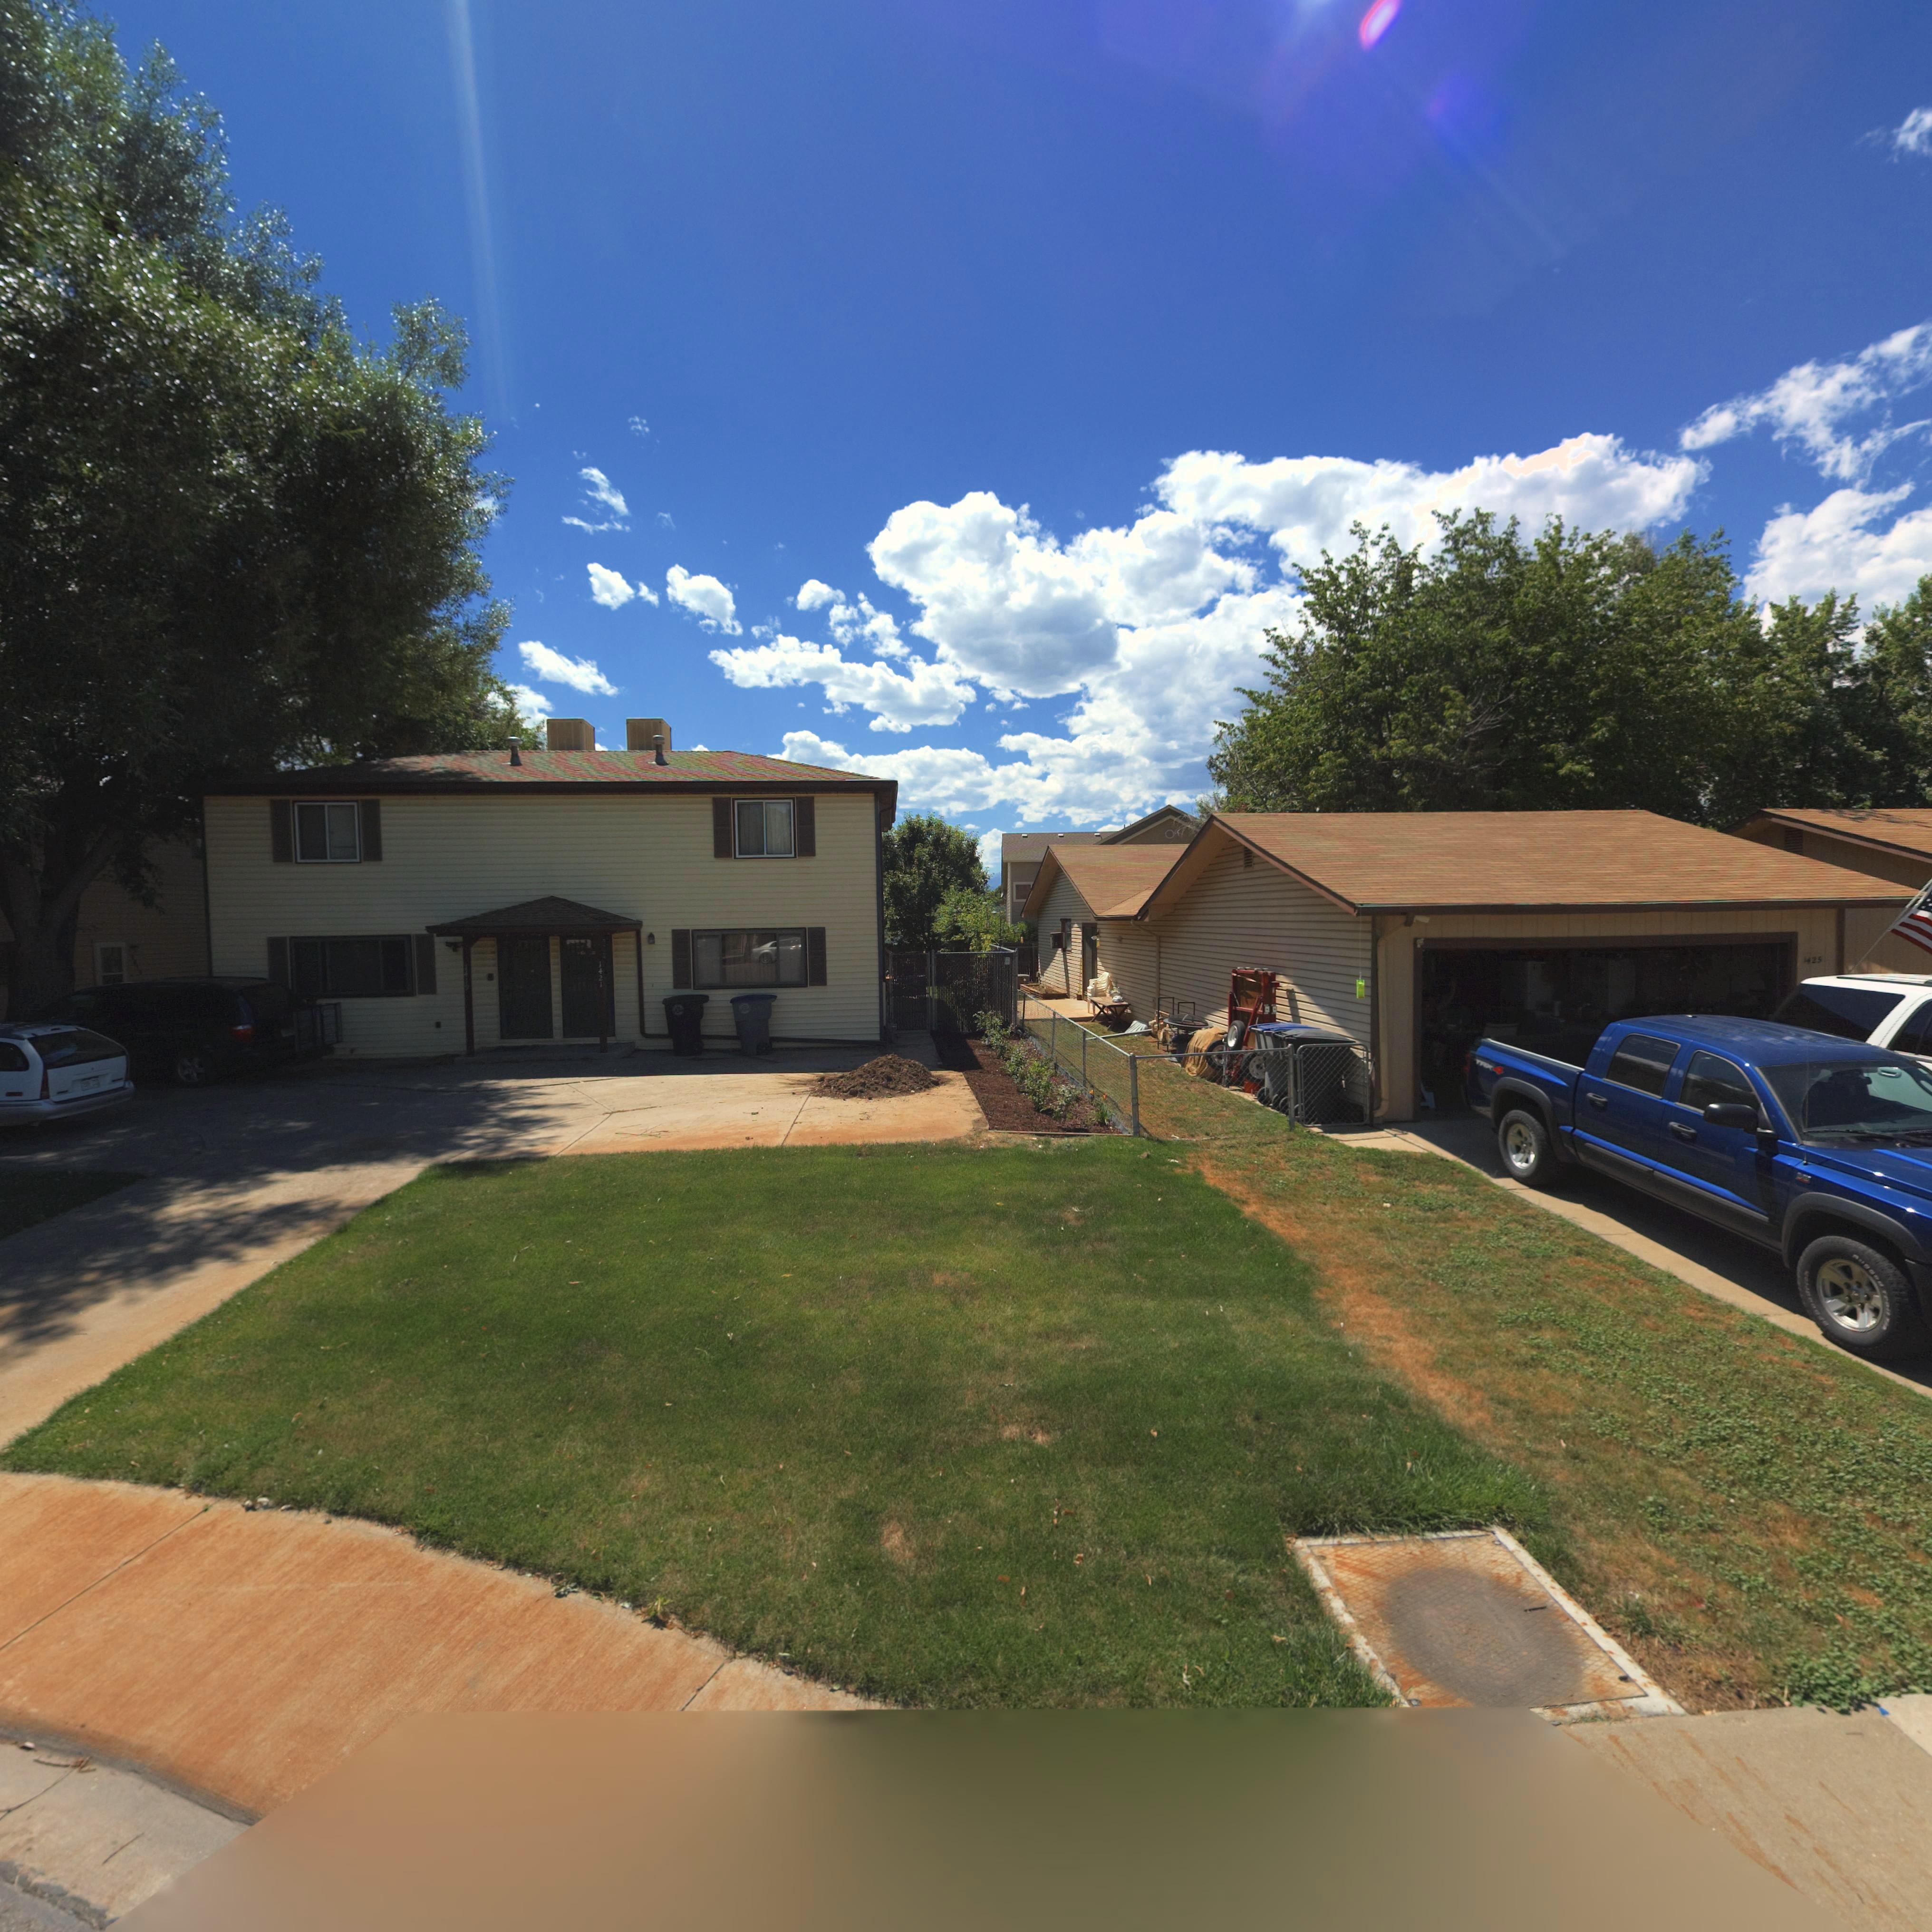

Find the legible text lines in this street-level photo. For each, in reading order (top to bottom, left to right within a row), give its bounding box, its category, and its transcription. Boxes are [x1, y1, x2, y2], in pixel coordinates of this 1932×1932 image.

[1803, 956, 1822, 964] StreetNumber: 1425
[464, 963, 469, 991] StreetNumber: 1419
[598, 961, 603, 988] StreetNumber: 1421